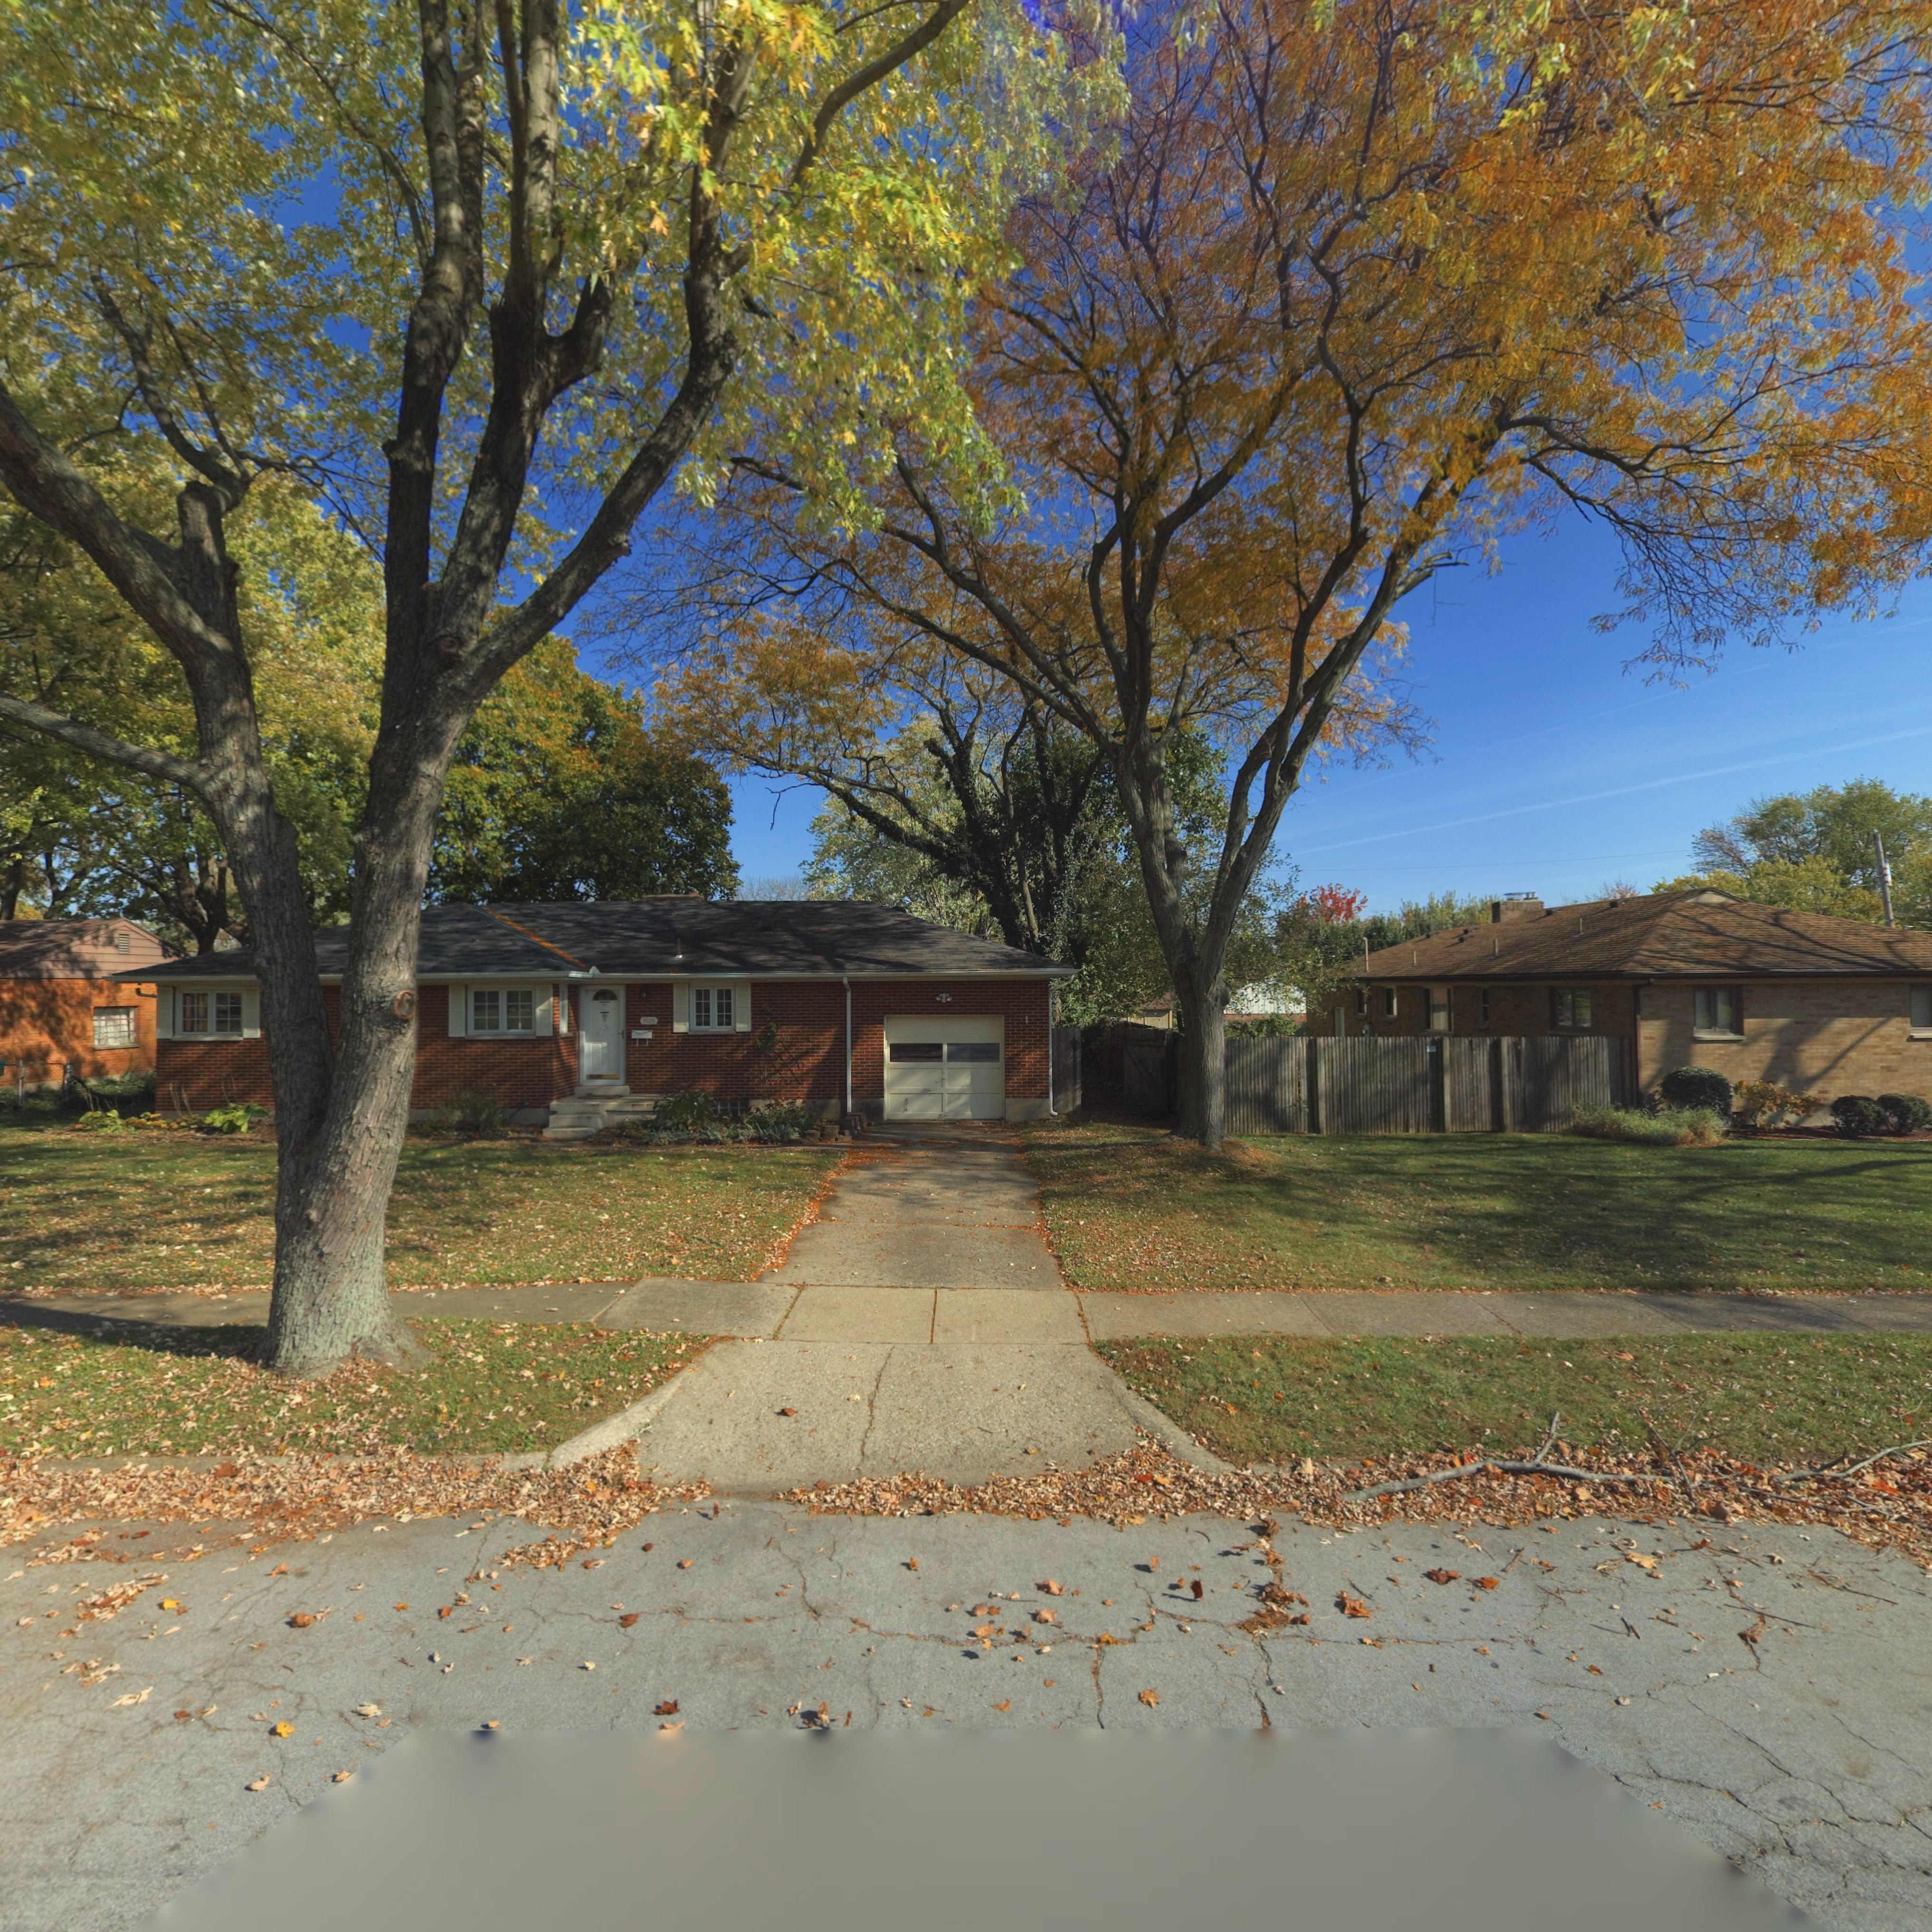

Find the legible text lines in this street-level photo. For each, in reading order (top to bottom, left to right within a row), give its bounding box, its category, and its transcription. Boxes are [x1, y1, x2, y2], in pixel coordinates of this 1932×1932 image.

[642, 1017, 655, 1024] StreetNumber: 3926